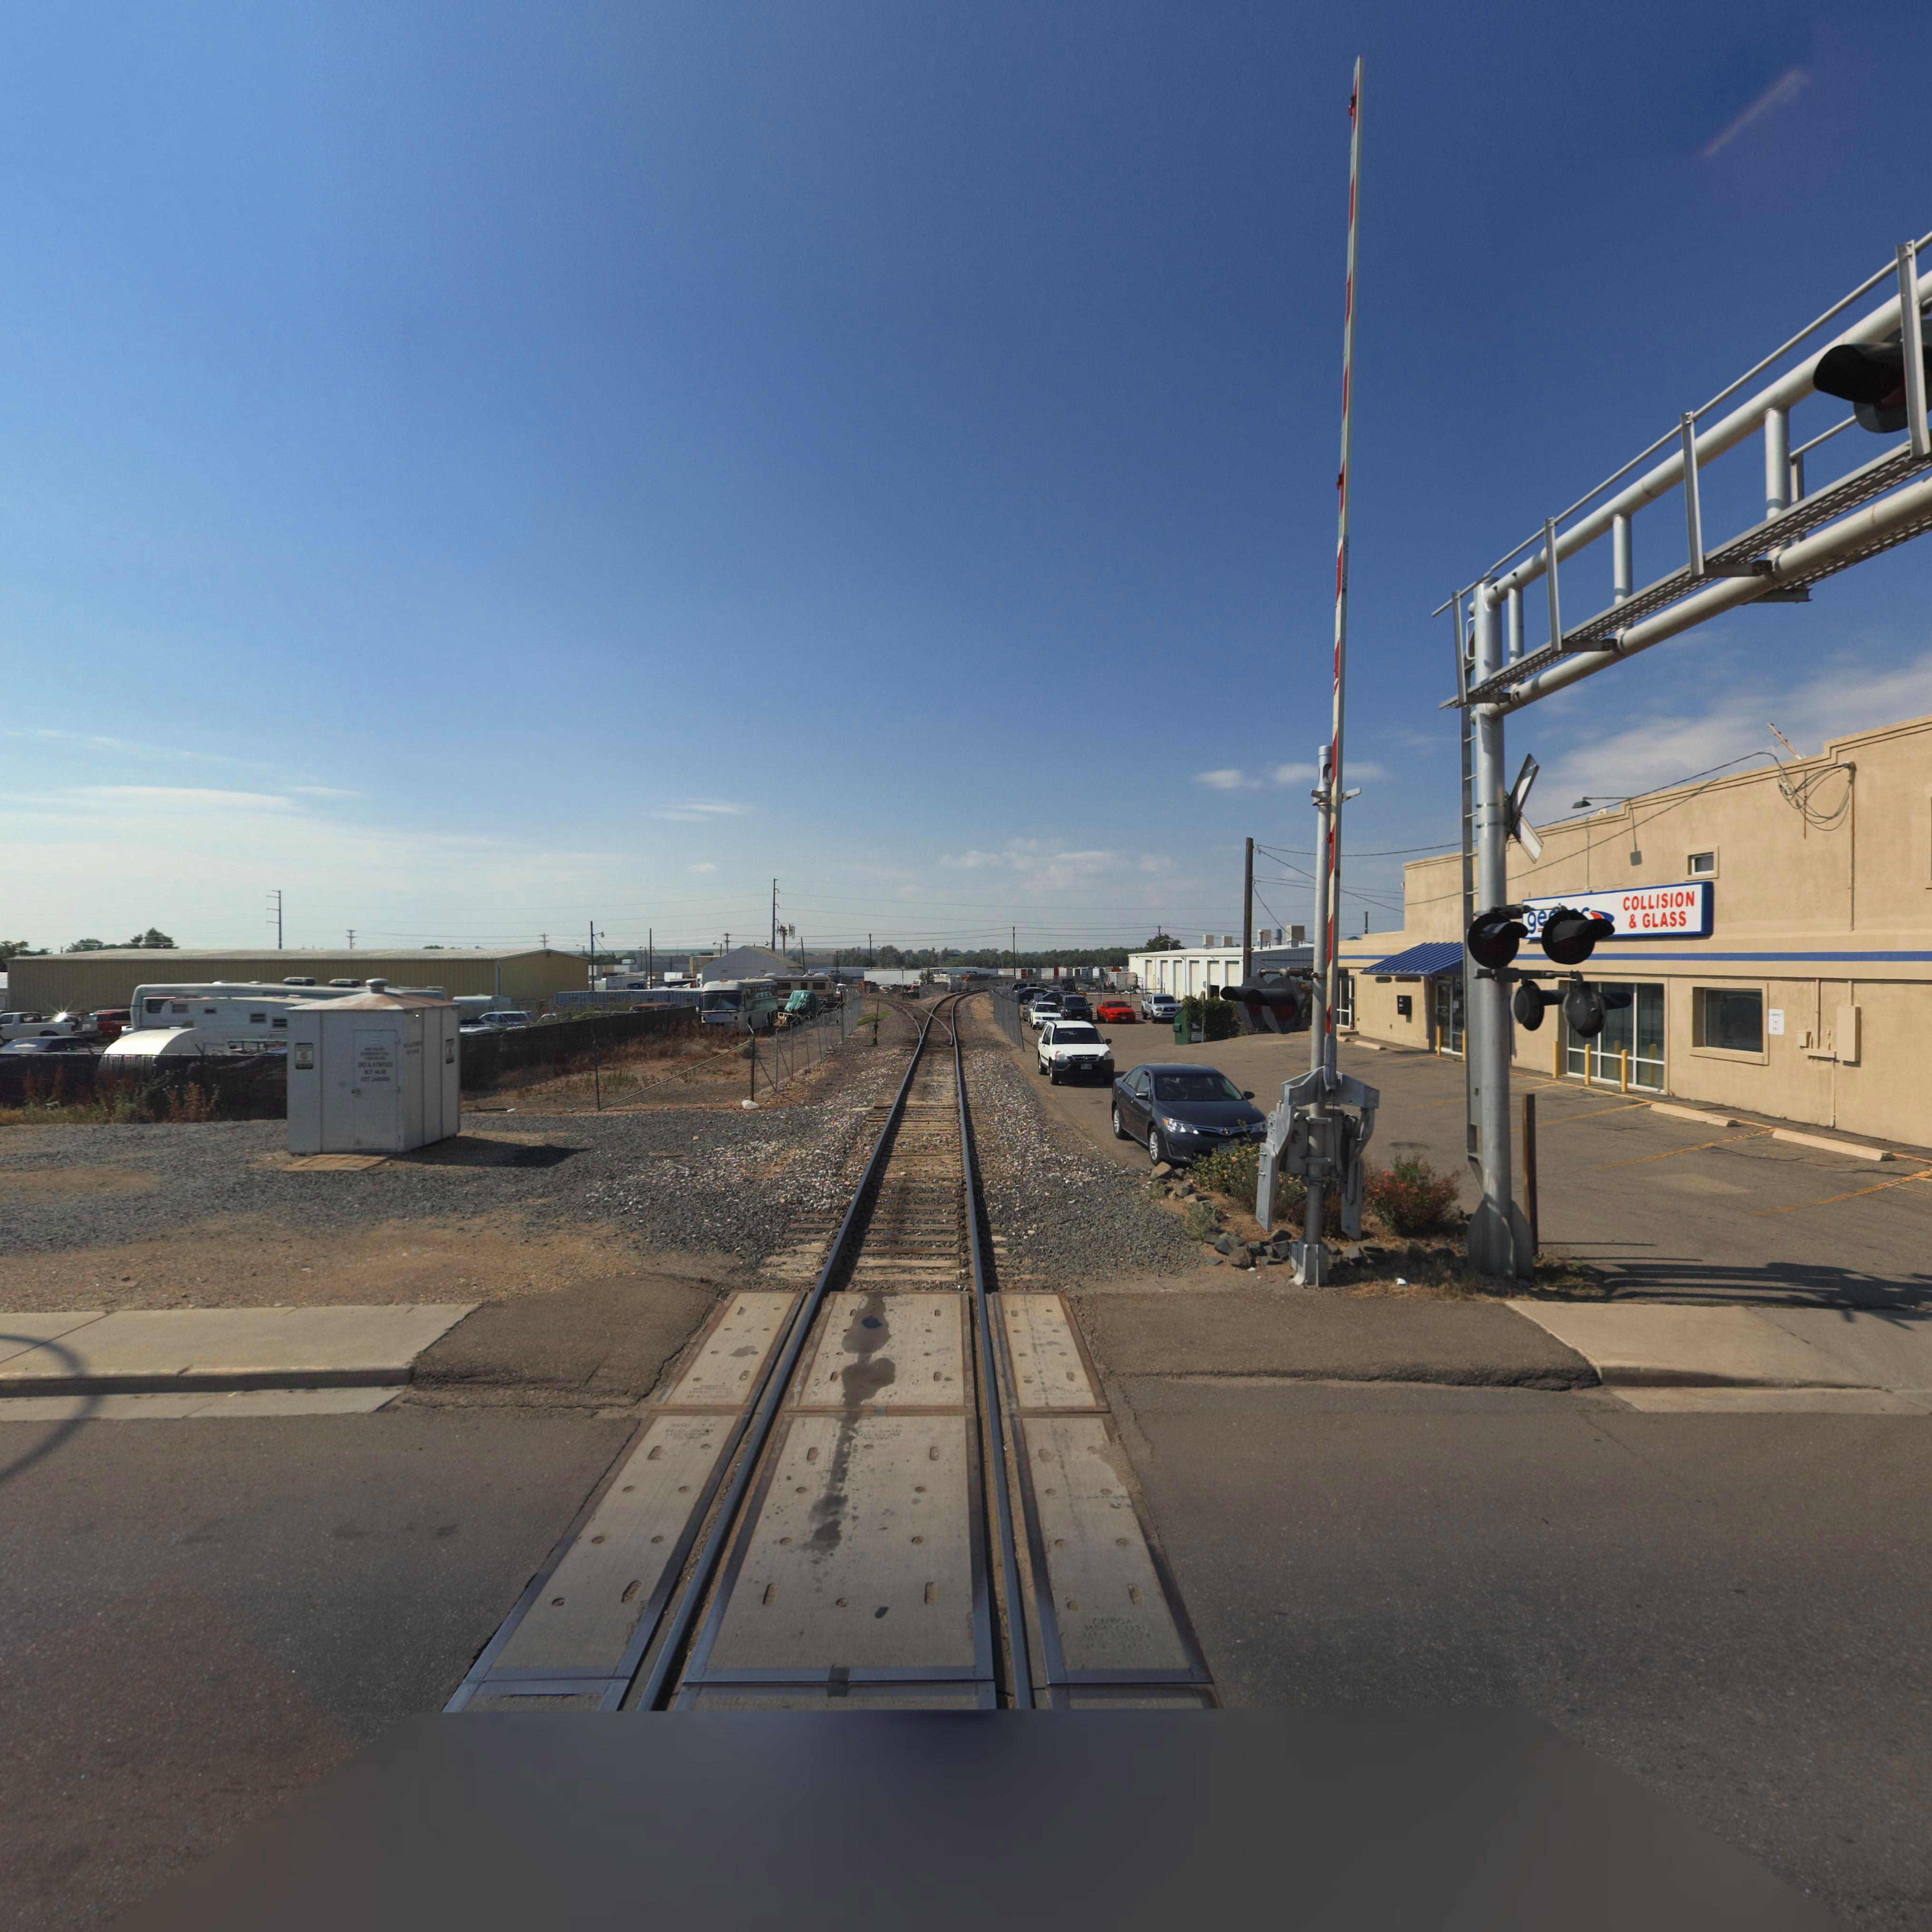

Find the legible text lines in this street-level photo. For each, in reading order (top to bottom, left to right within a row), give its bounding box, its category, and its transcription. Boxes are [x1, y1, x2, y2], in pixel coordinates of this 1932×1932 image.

[1621, 889, 1695, 911] BusinessName: COLLISION
[1526, 909, 1548, 935] BusinessName: ge
[1628, 910, 1687, 929] BusinessName: & GLASS